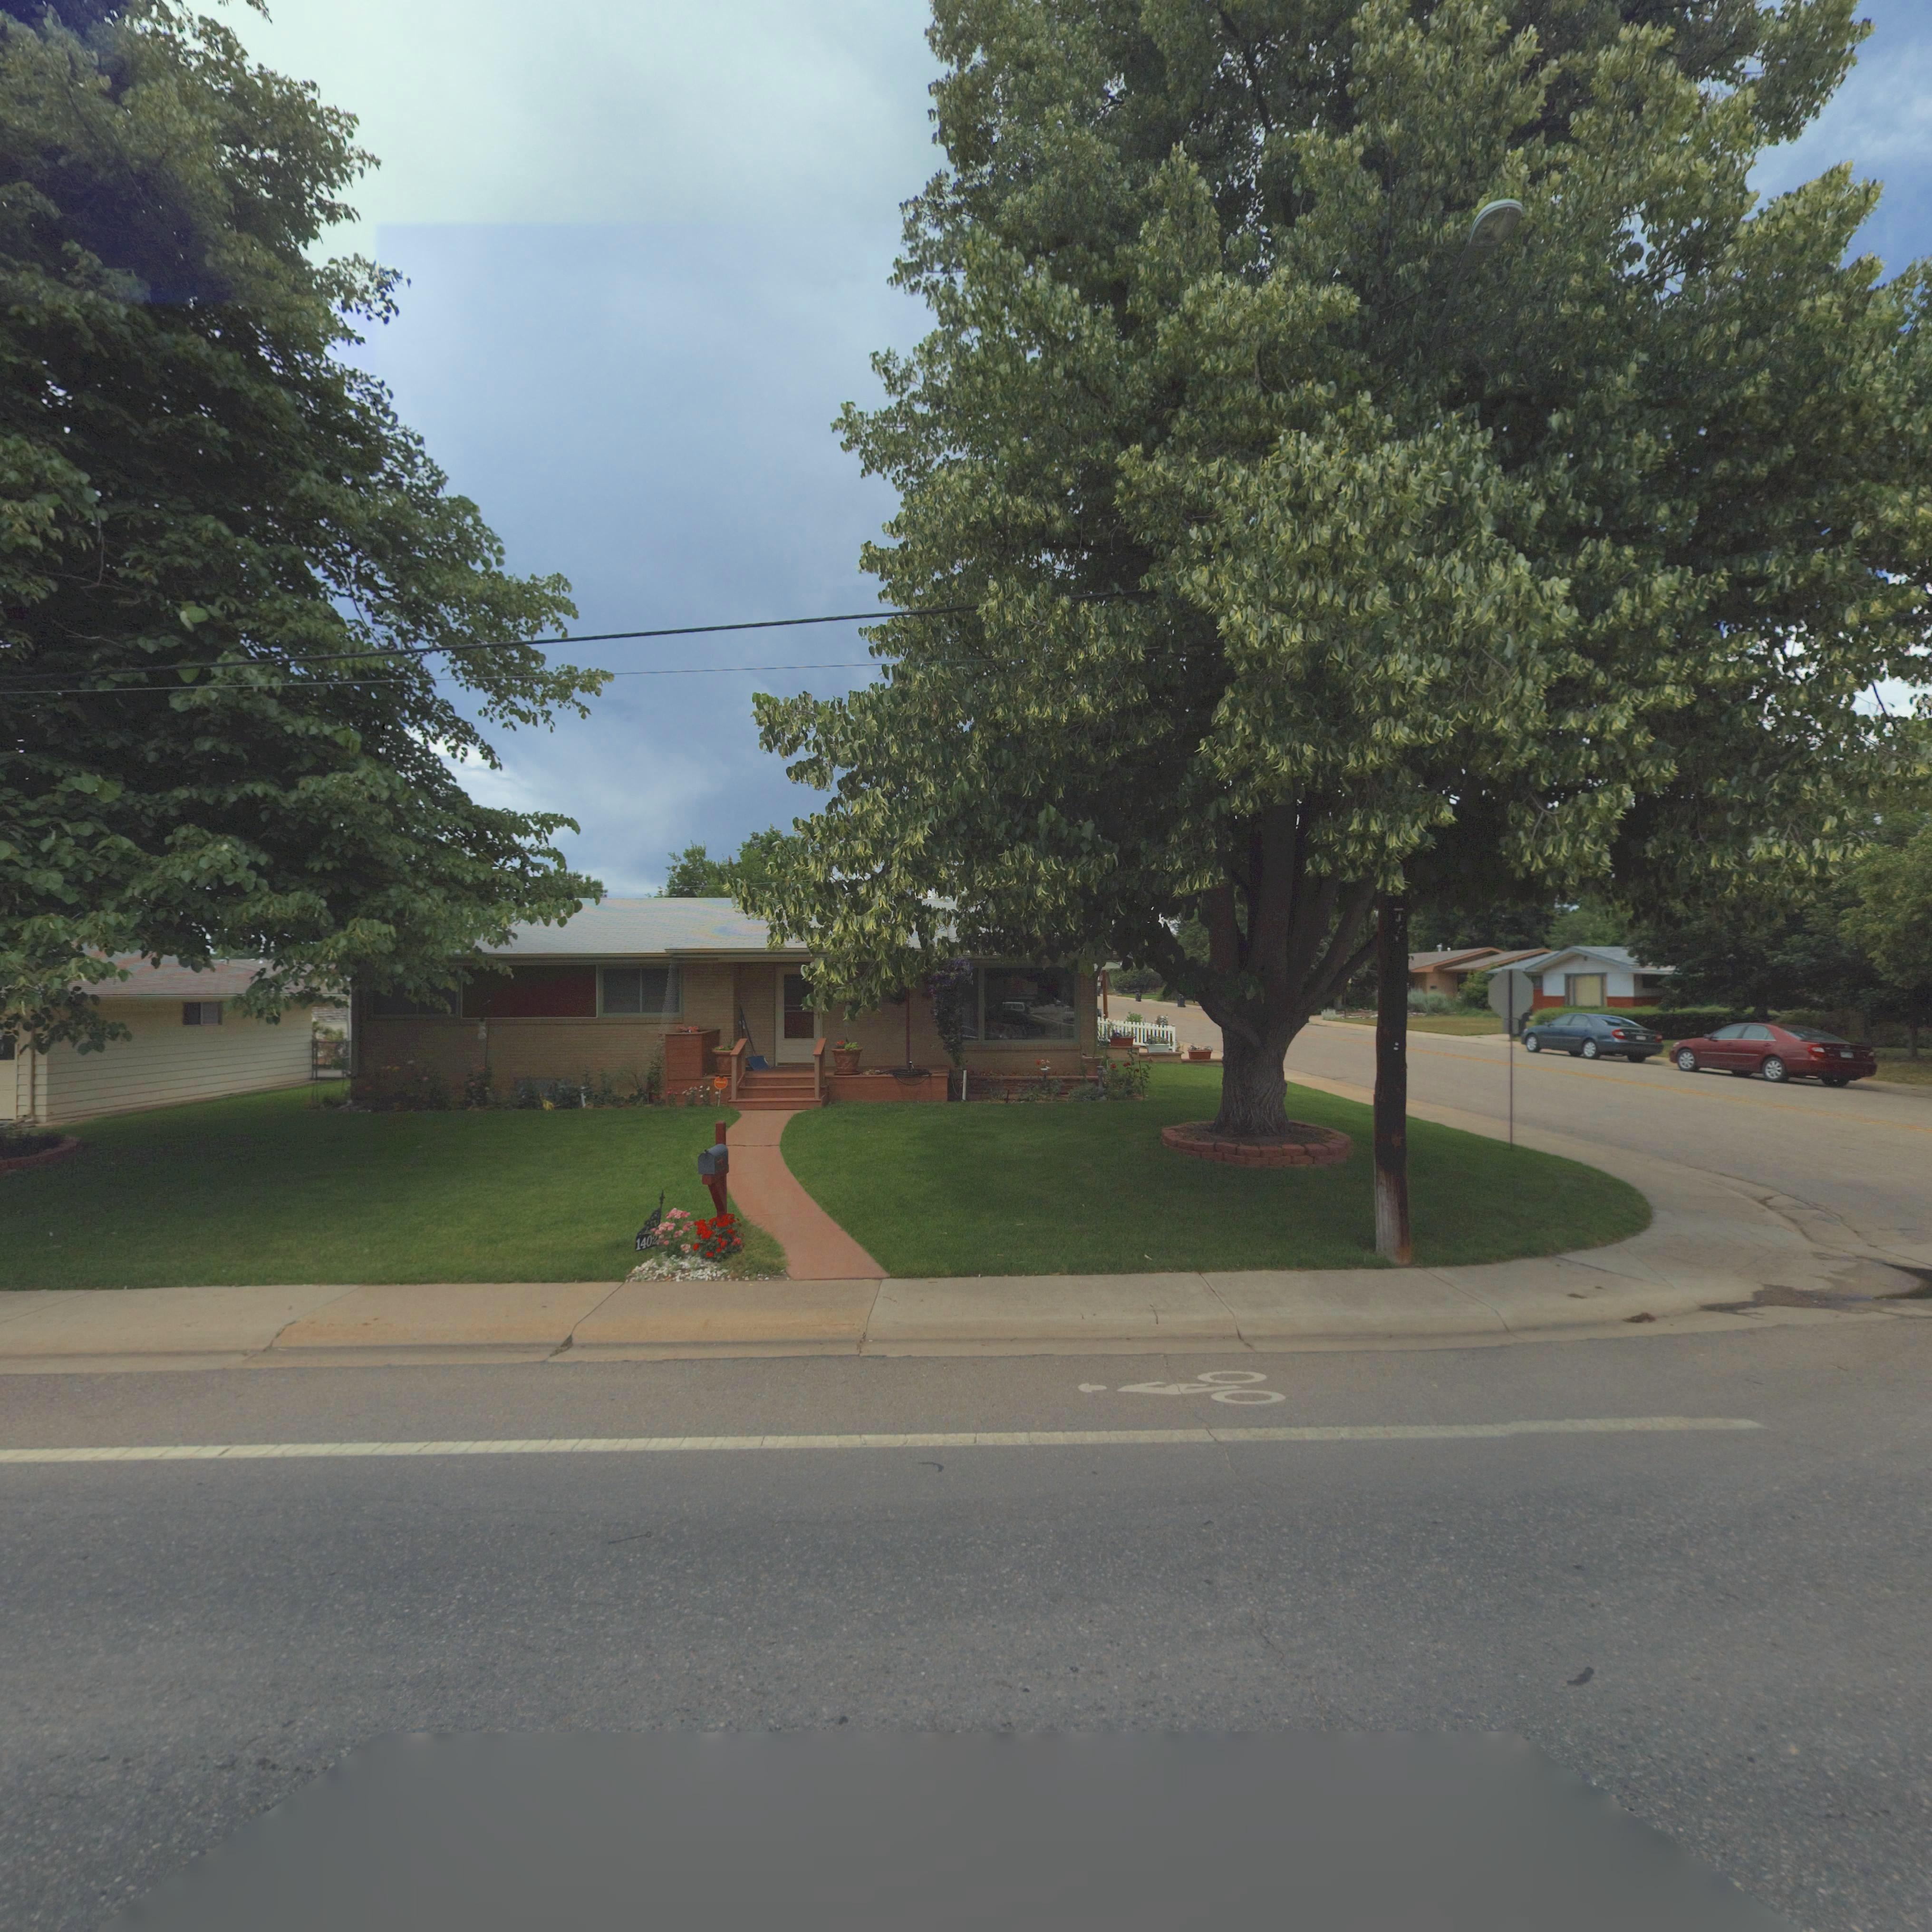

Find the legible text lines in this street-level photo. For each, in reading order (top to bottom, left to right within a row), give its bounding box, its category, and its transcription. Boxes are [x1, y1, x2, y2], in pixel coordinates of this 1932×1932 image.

[636, 1233, 657, 1250] StreetNumber: 1402